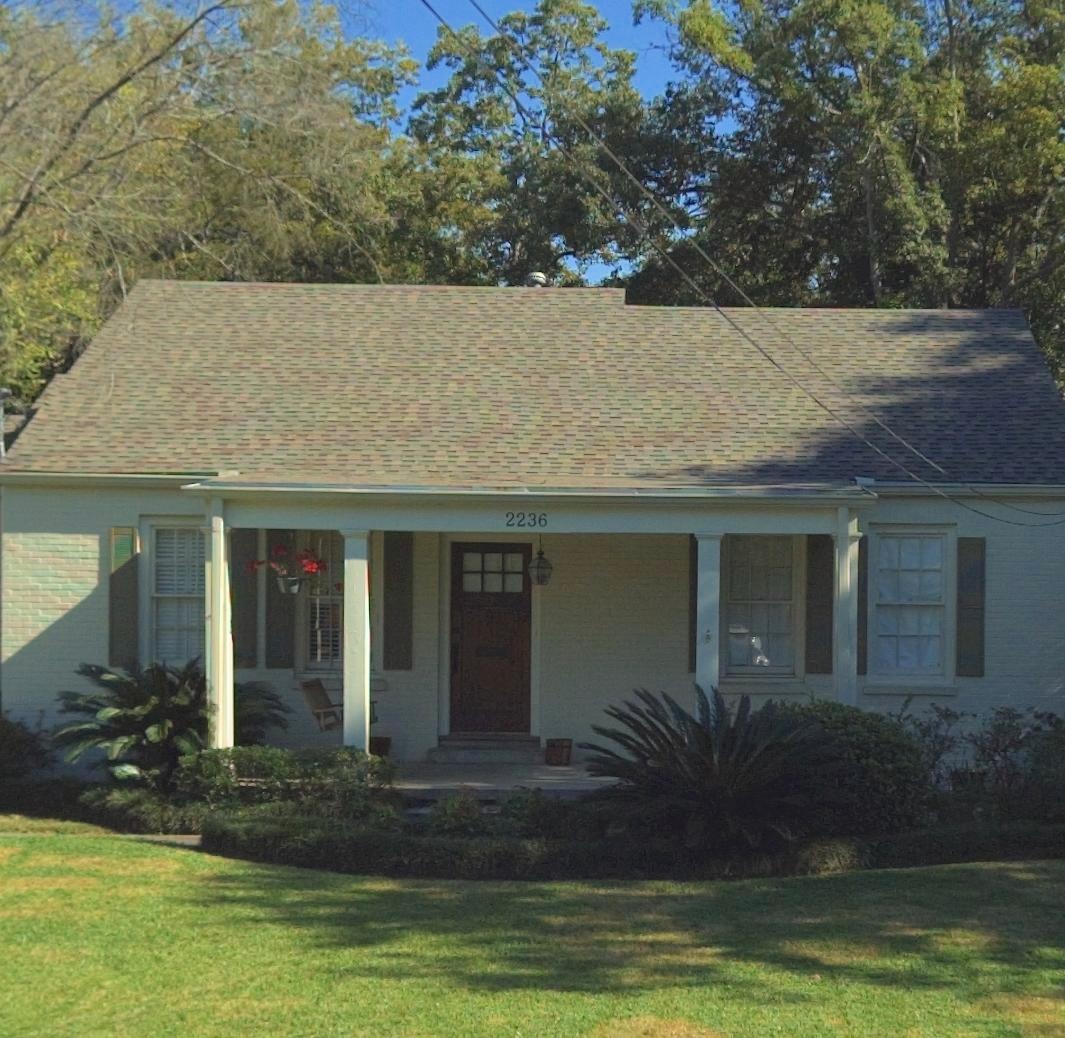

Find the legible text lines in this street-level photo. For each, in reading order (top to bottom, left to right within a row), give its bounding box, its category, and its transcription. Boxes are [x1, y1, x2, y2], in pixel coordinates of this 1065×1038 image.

[503, 509, 549, 529] StreetNumber: 2236